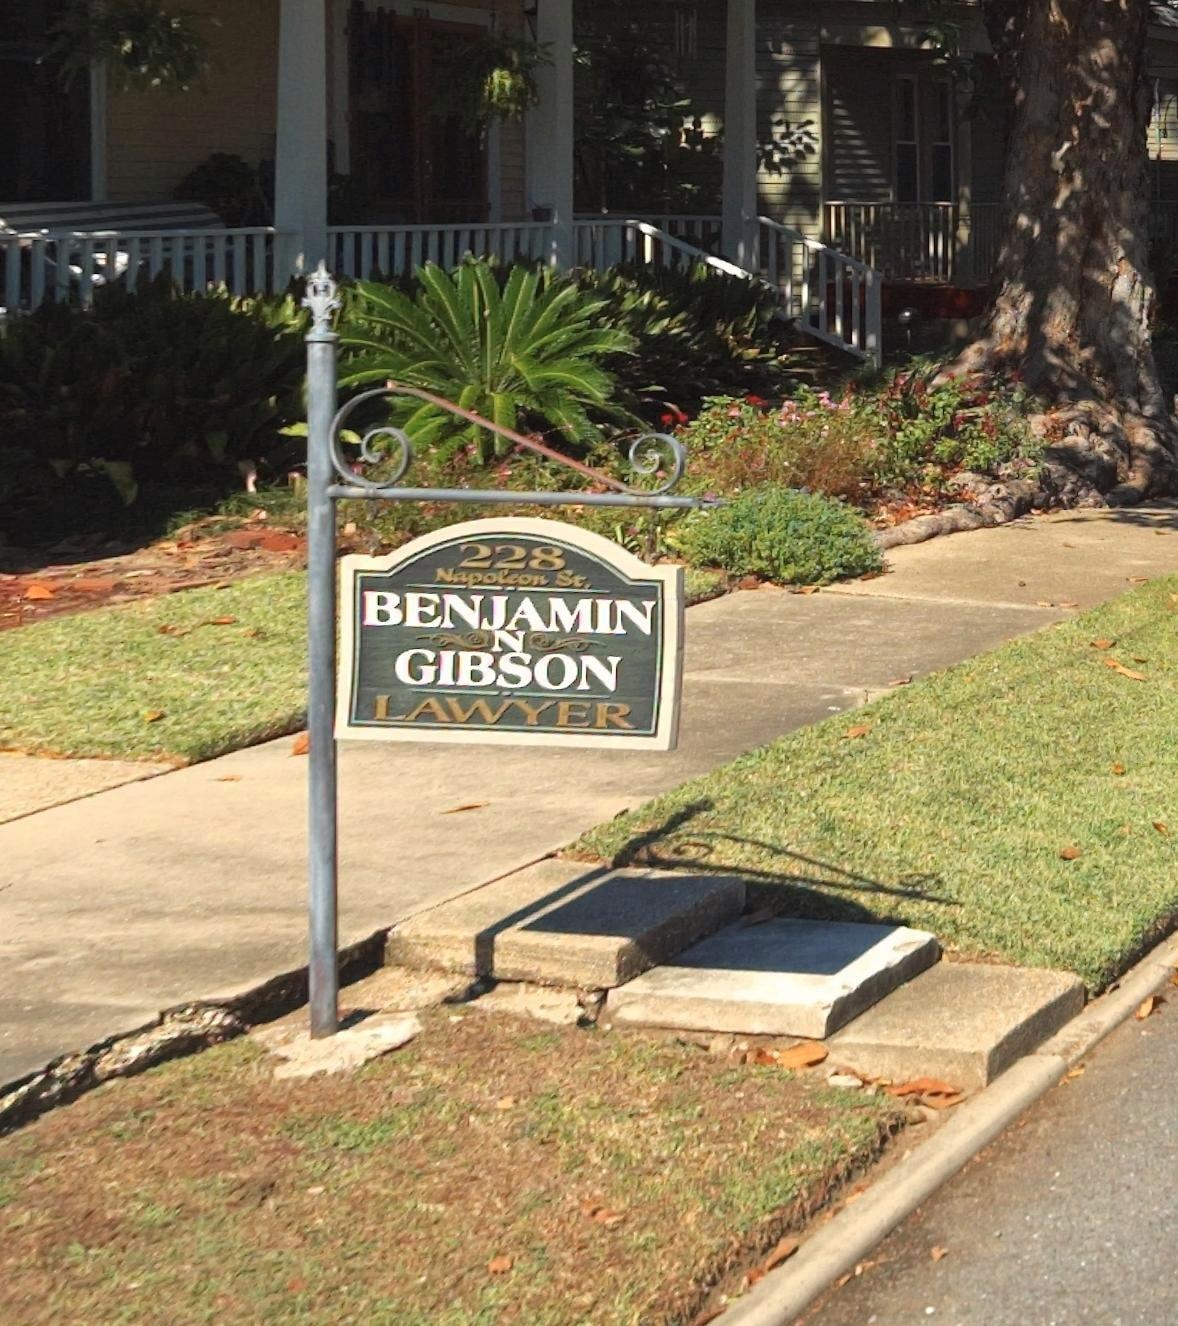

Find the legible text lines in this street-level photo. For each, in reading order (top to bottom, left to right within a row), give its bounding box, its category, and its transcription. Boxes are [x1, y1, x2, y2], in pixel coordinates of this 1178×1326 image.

[456, 540, 571, 573] StreetNumber: 228
[432, 564, 593, 592] StreetName: Napol*on St.
[358, 587, 663, 639] BusinessName: BENJAMIN
[488, 628, 529, 656] BusinessName: N
[390, 644, 626, 695] BusinessName: GIBSON
[371, 692, 641, 732] BusinessName: LAWYER